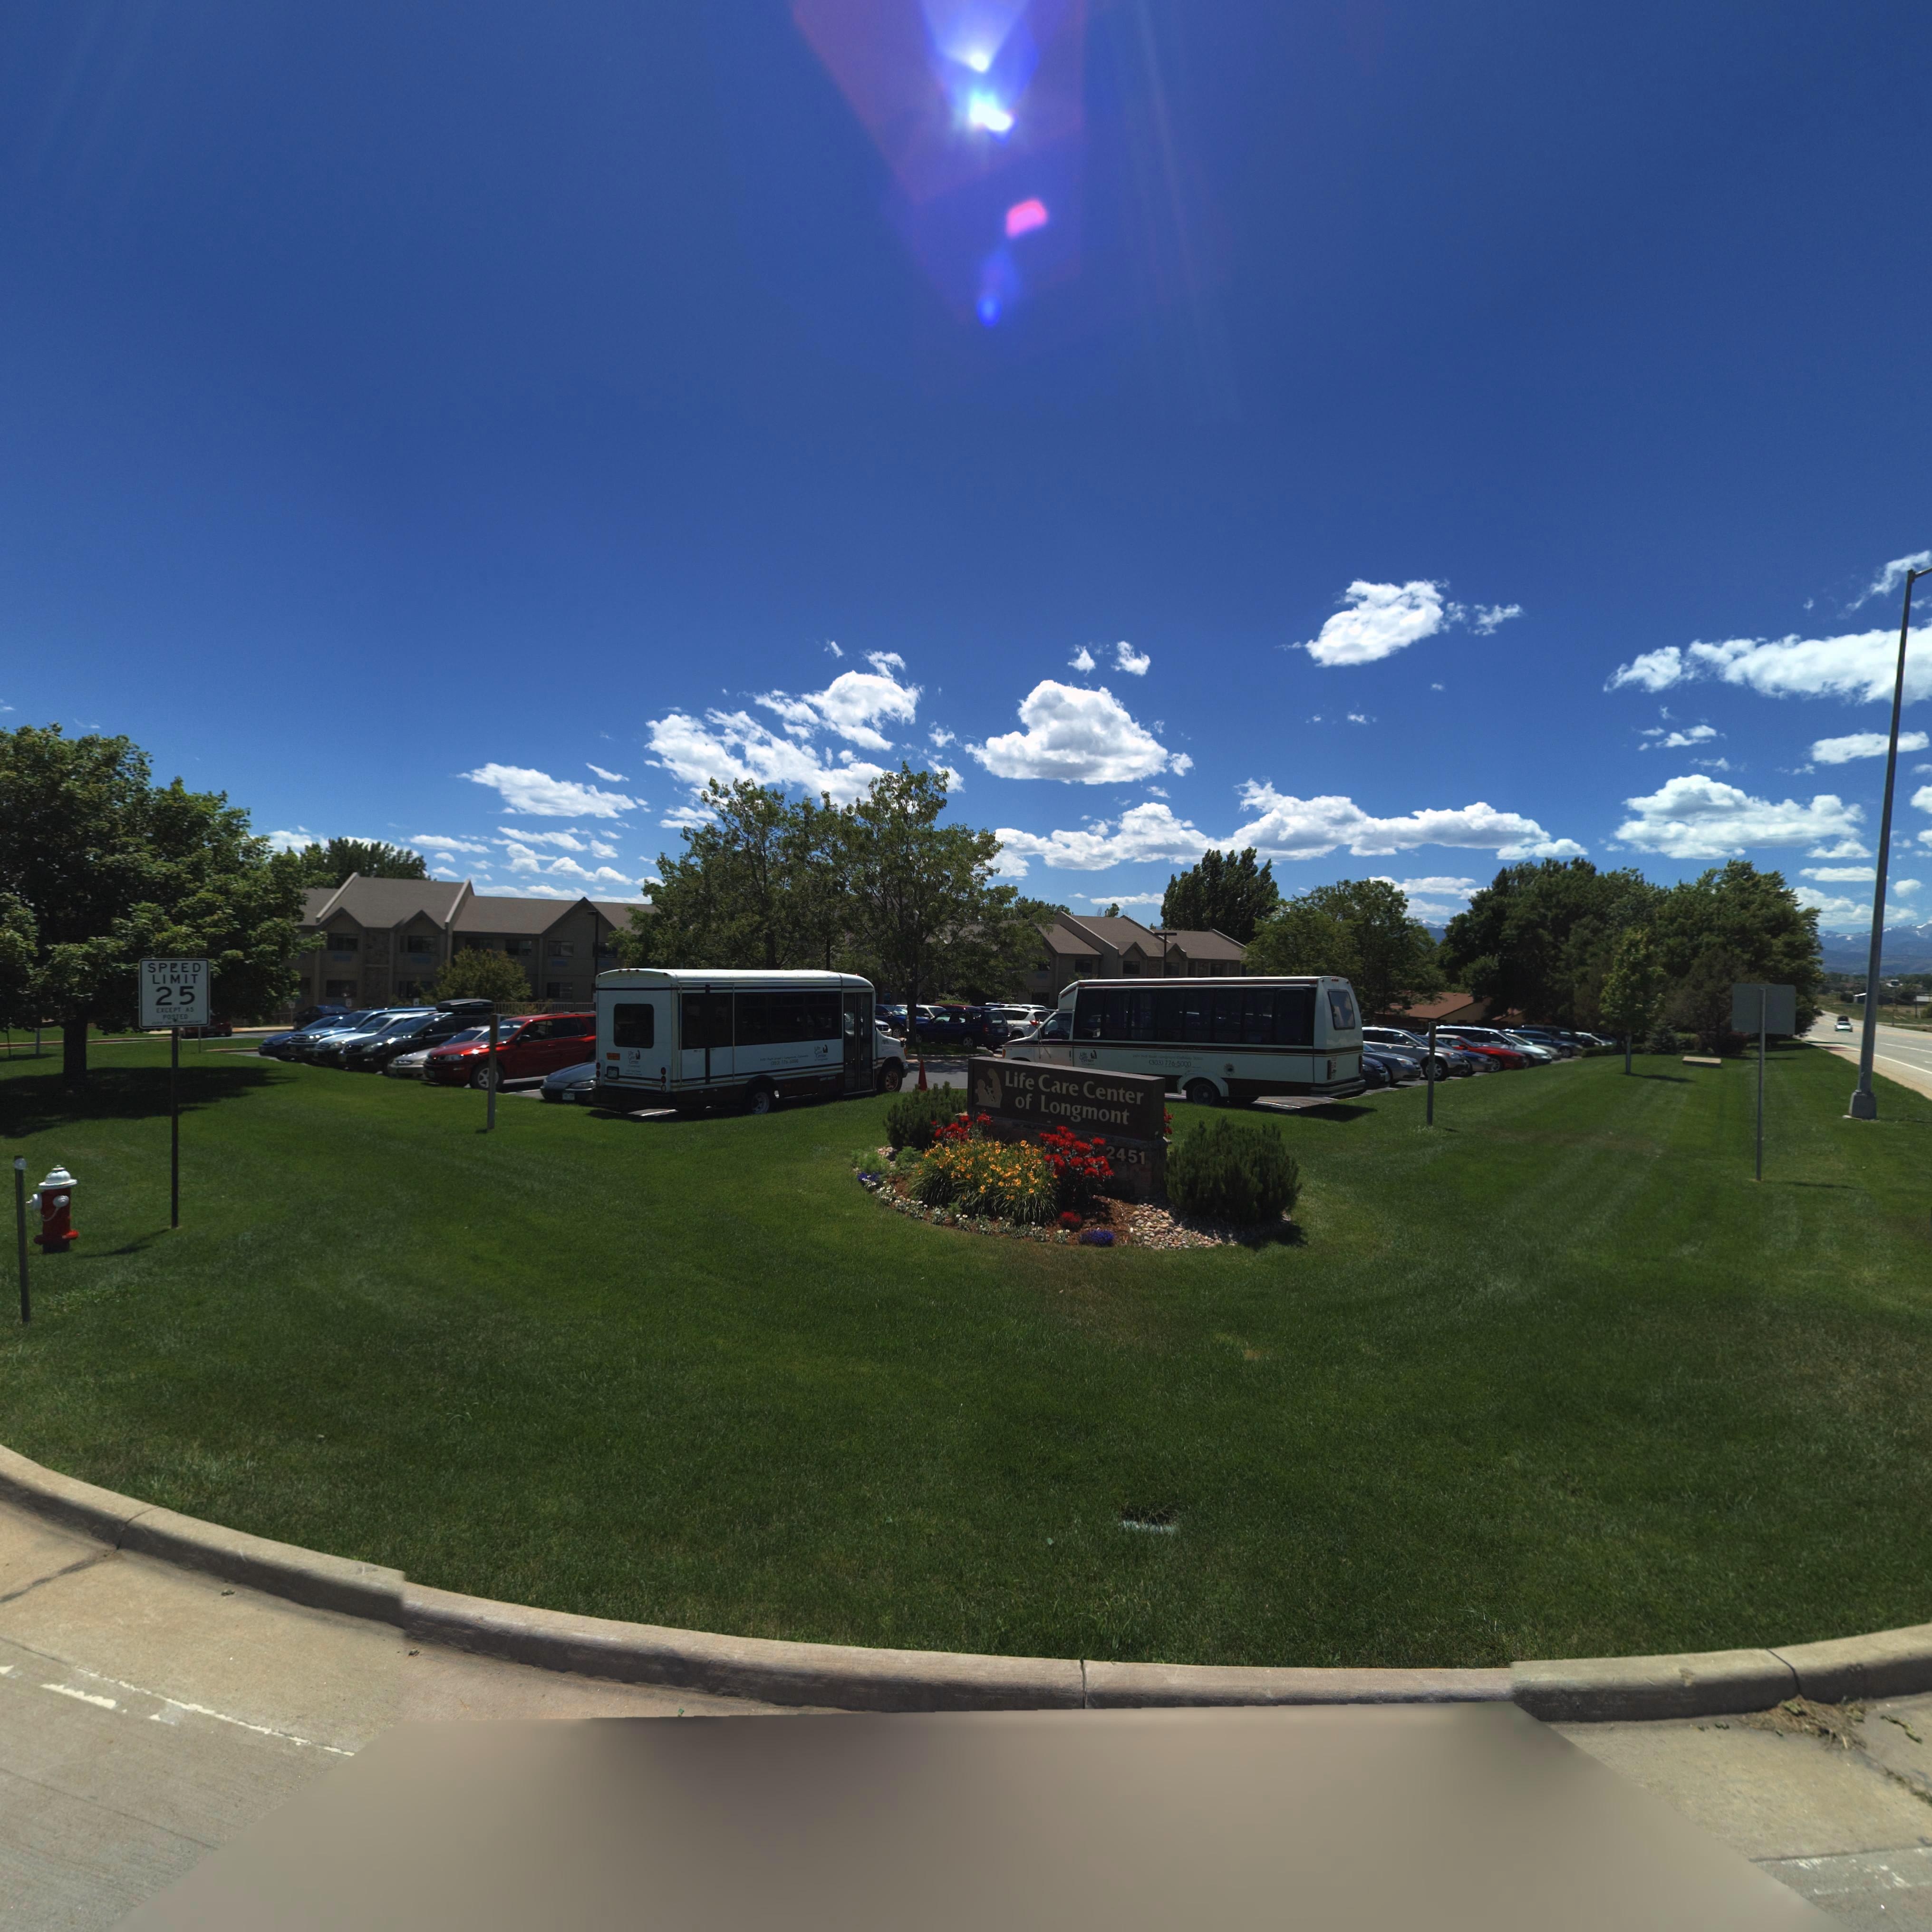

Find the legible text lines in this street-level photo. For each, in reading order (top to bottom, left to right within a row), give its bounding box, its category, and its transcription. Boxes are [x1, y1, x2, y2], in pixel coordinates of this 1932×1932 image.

[1005, 1070, 1144, 1105] BusinessName: Life Care Center
[1014, 1092, 1130, 1126] BusinessName: of Longmont
[1105, 1145, 1145, 1165] StreetNumber: 2451